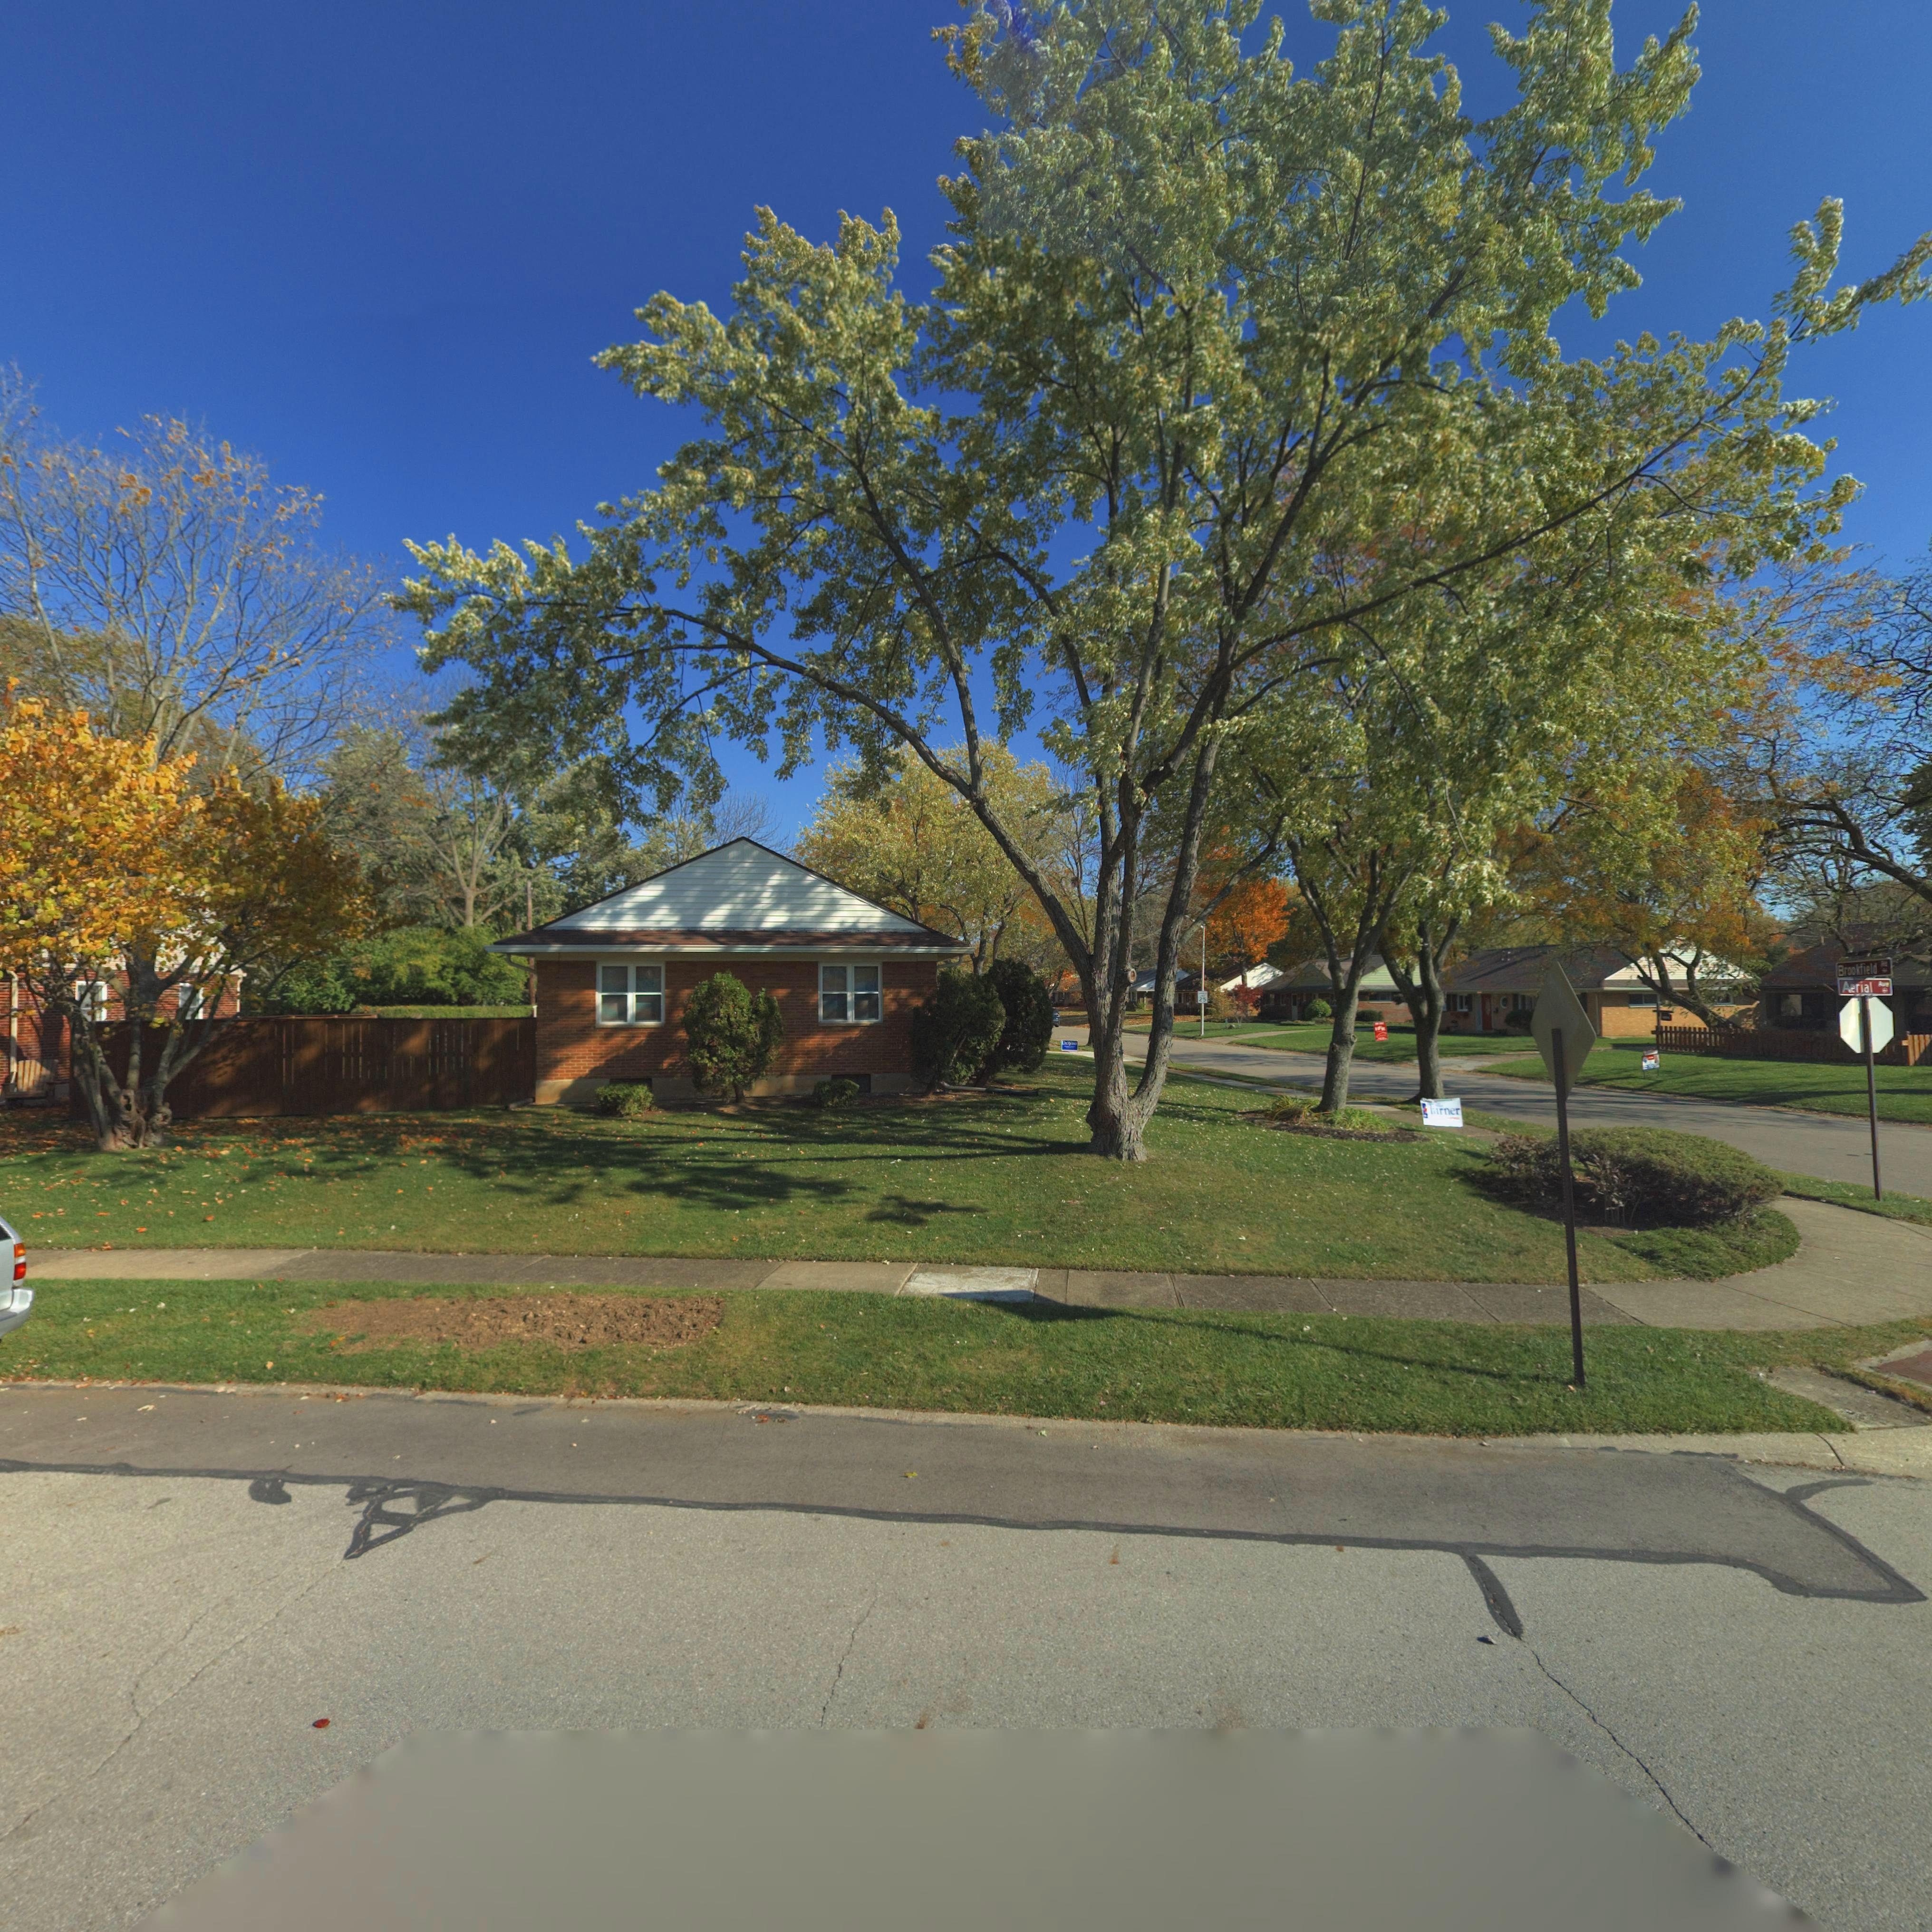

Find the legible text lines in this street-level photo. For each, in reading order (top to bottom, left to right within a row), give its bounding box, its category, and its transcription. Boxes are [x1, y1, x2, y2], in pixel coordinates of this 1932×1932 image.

[1837, 960, 1889, 977] StreetName: Broomfield Rd
[1841, 980, 1890, 994] StreetName: Aerial Ave
[1198, 996, 1207, 1002] None: 25
[1374, 1026, 1386, 1031] None: H*R
[1062, 1040, 1066, 1045] None: D
[1426, 1103, 1461, 1116] None: Turner